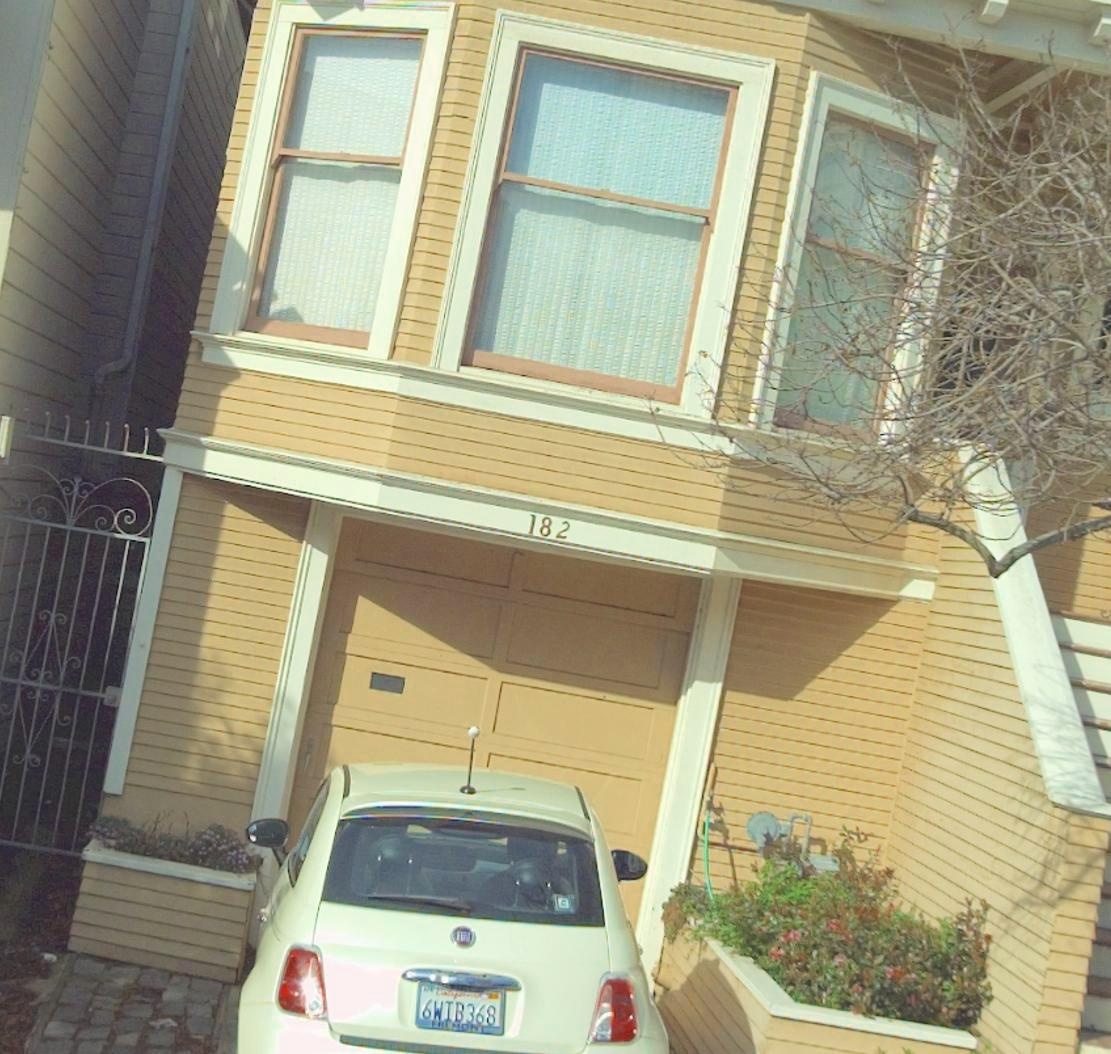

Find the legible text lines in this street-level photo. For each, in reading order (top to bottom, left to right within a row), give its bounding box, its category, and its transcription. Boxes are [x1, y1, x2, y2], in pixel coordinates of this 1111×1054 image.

[526, 512, 572, 541] StreetNumber: 182
[421, 998, 497, 1027] None: 6WIB368